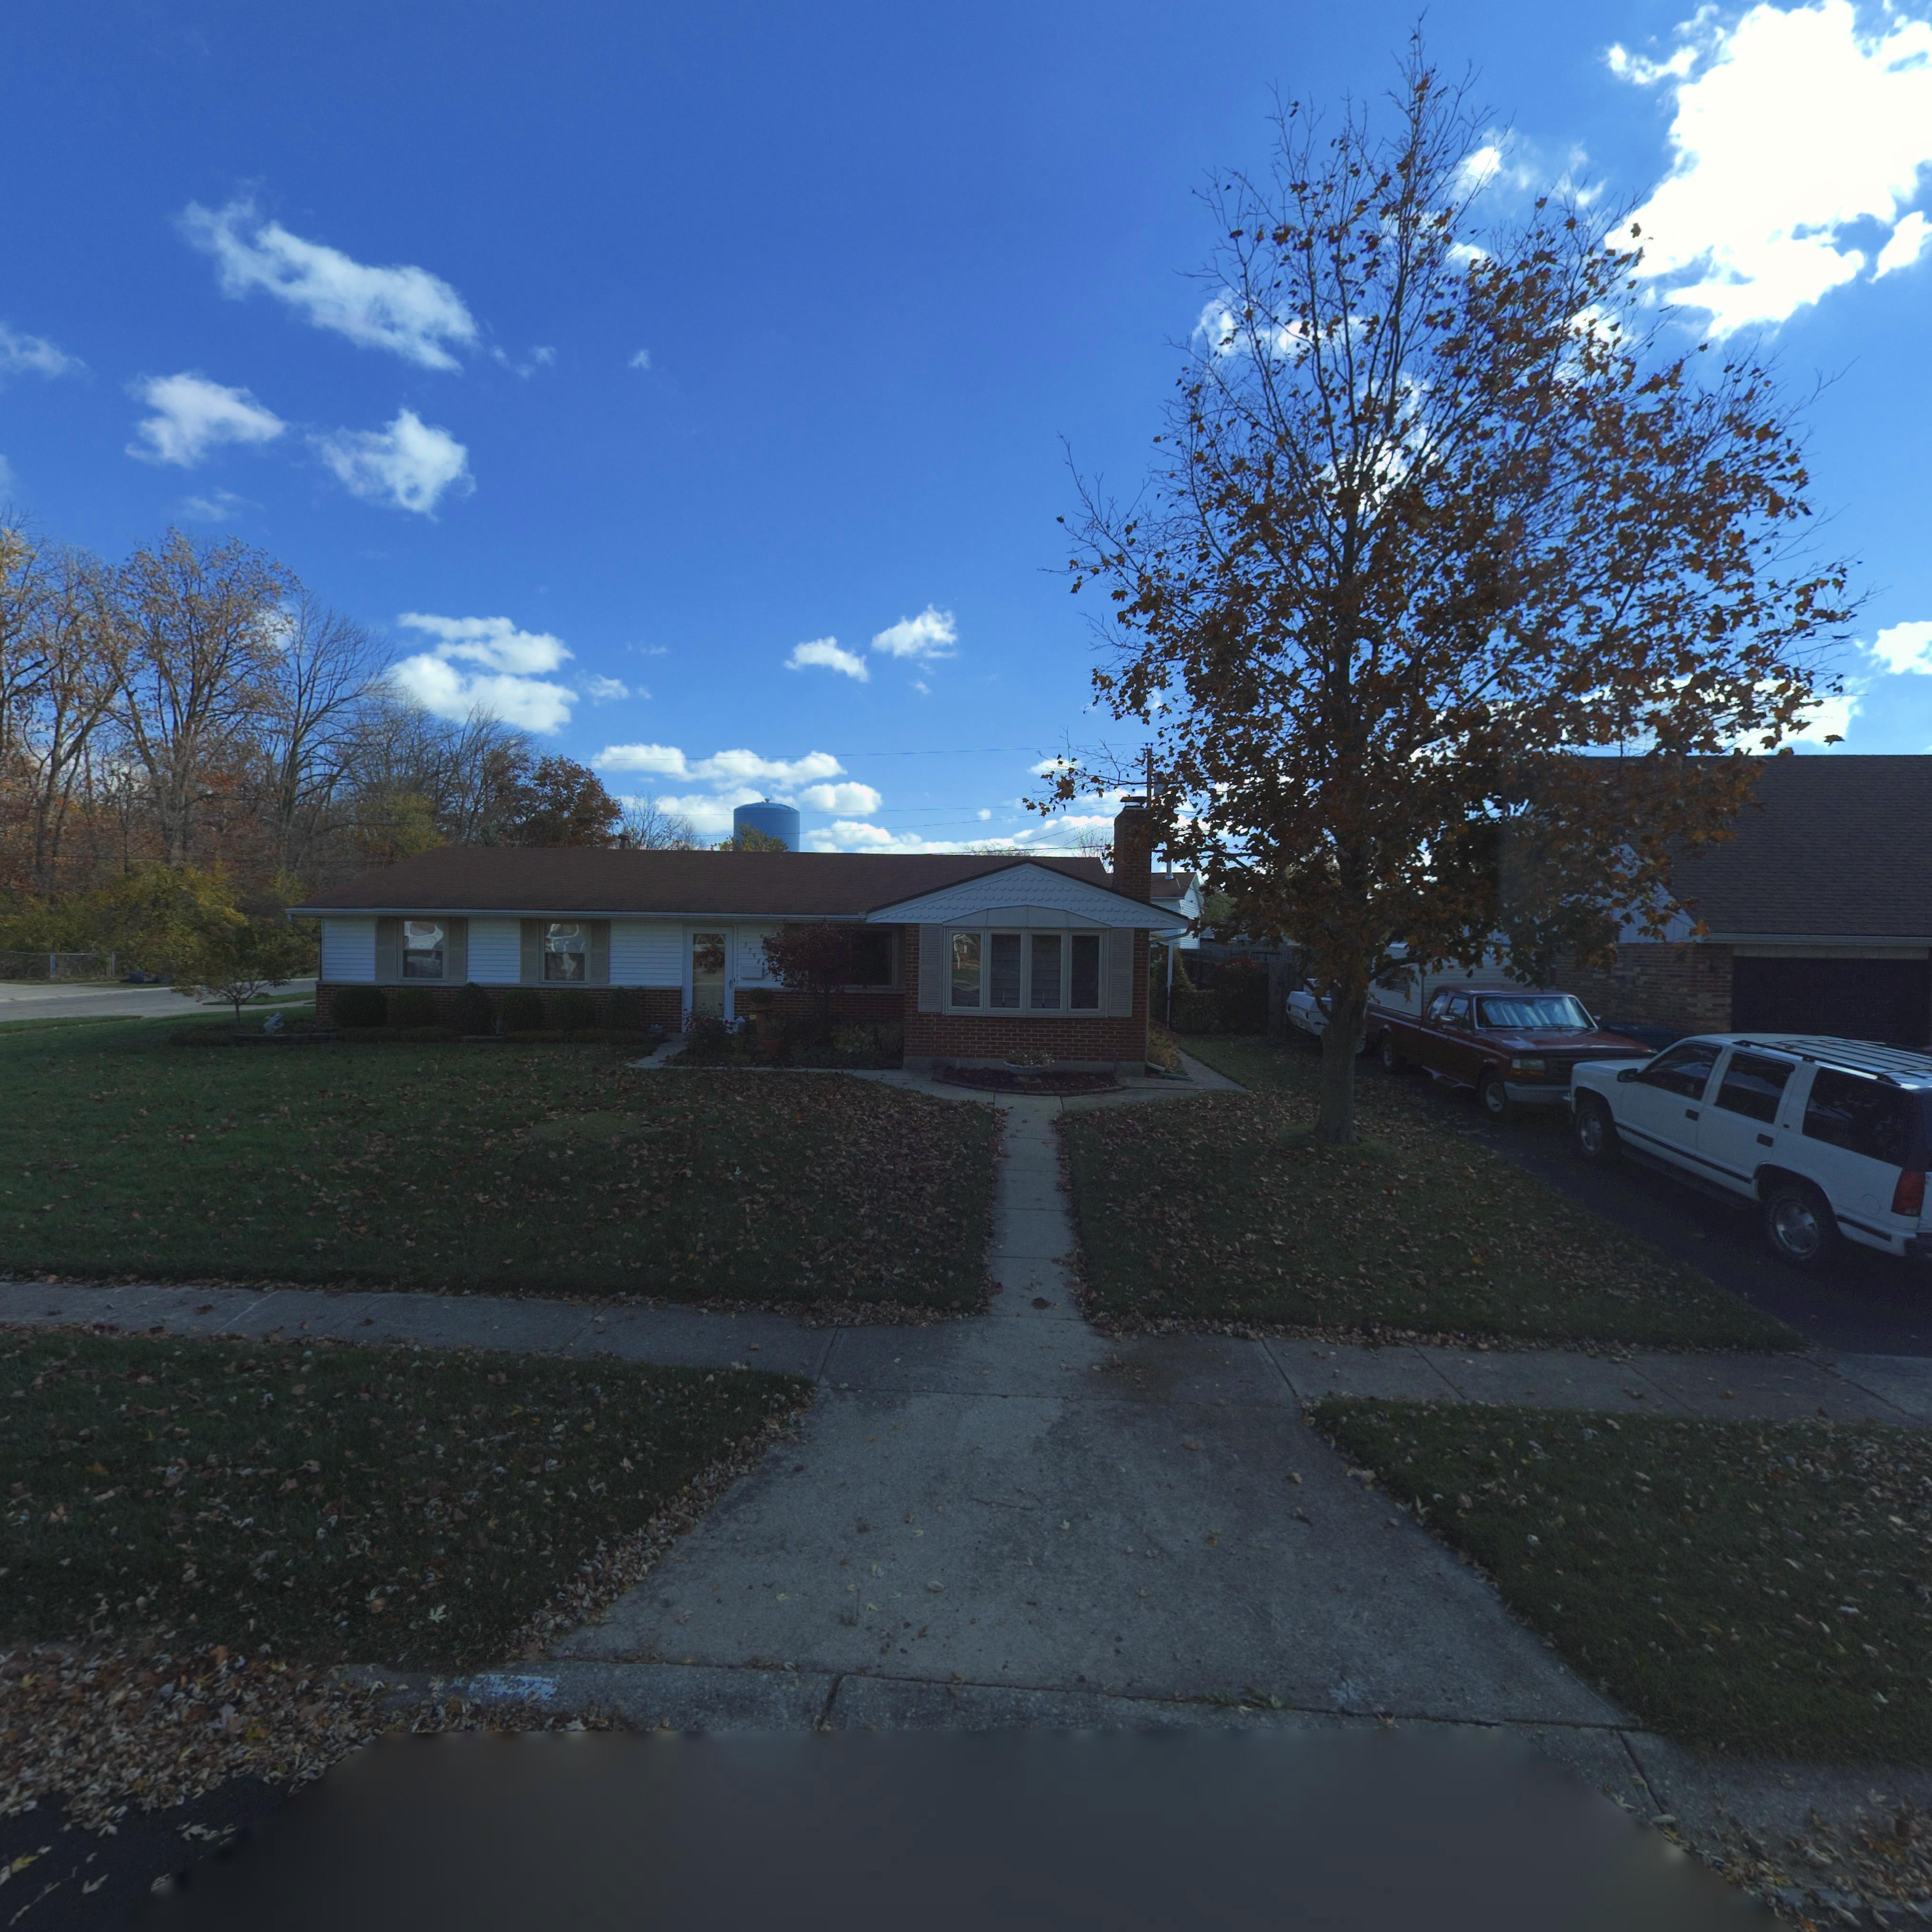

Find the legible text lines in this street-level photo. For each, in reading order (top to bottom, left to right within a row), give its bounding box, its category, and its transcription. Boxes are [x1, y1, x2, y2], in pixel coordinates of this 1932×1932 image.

[743, 942, 761, 966] StreetNumber: 7794